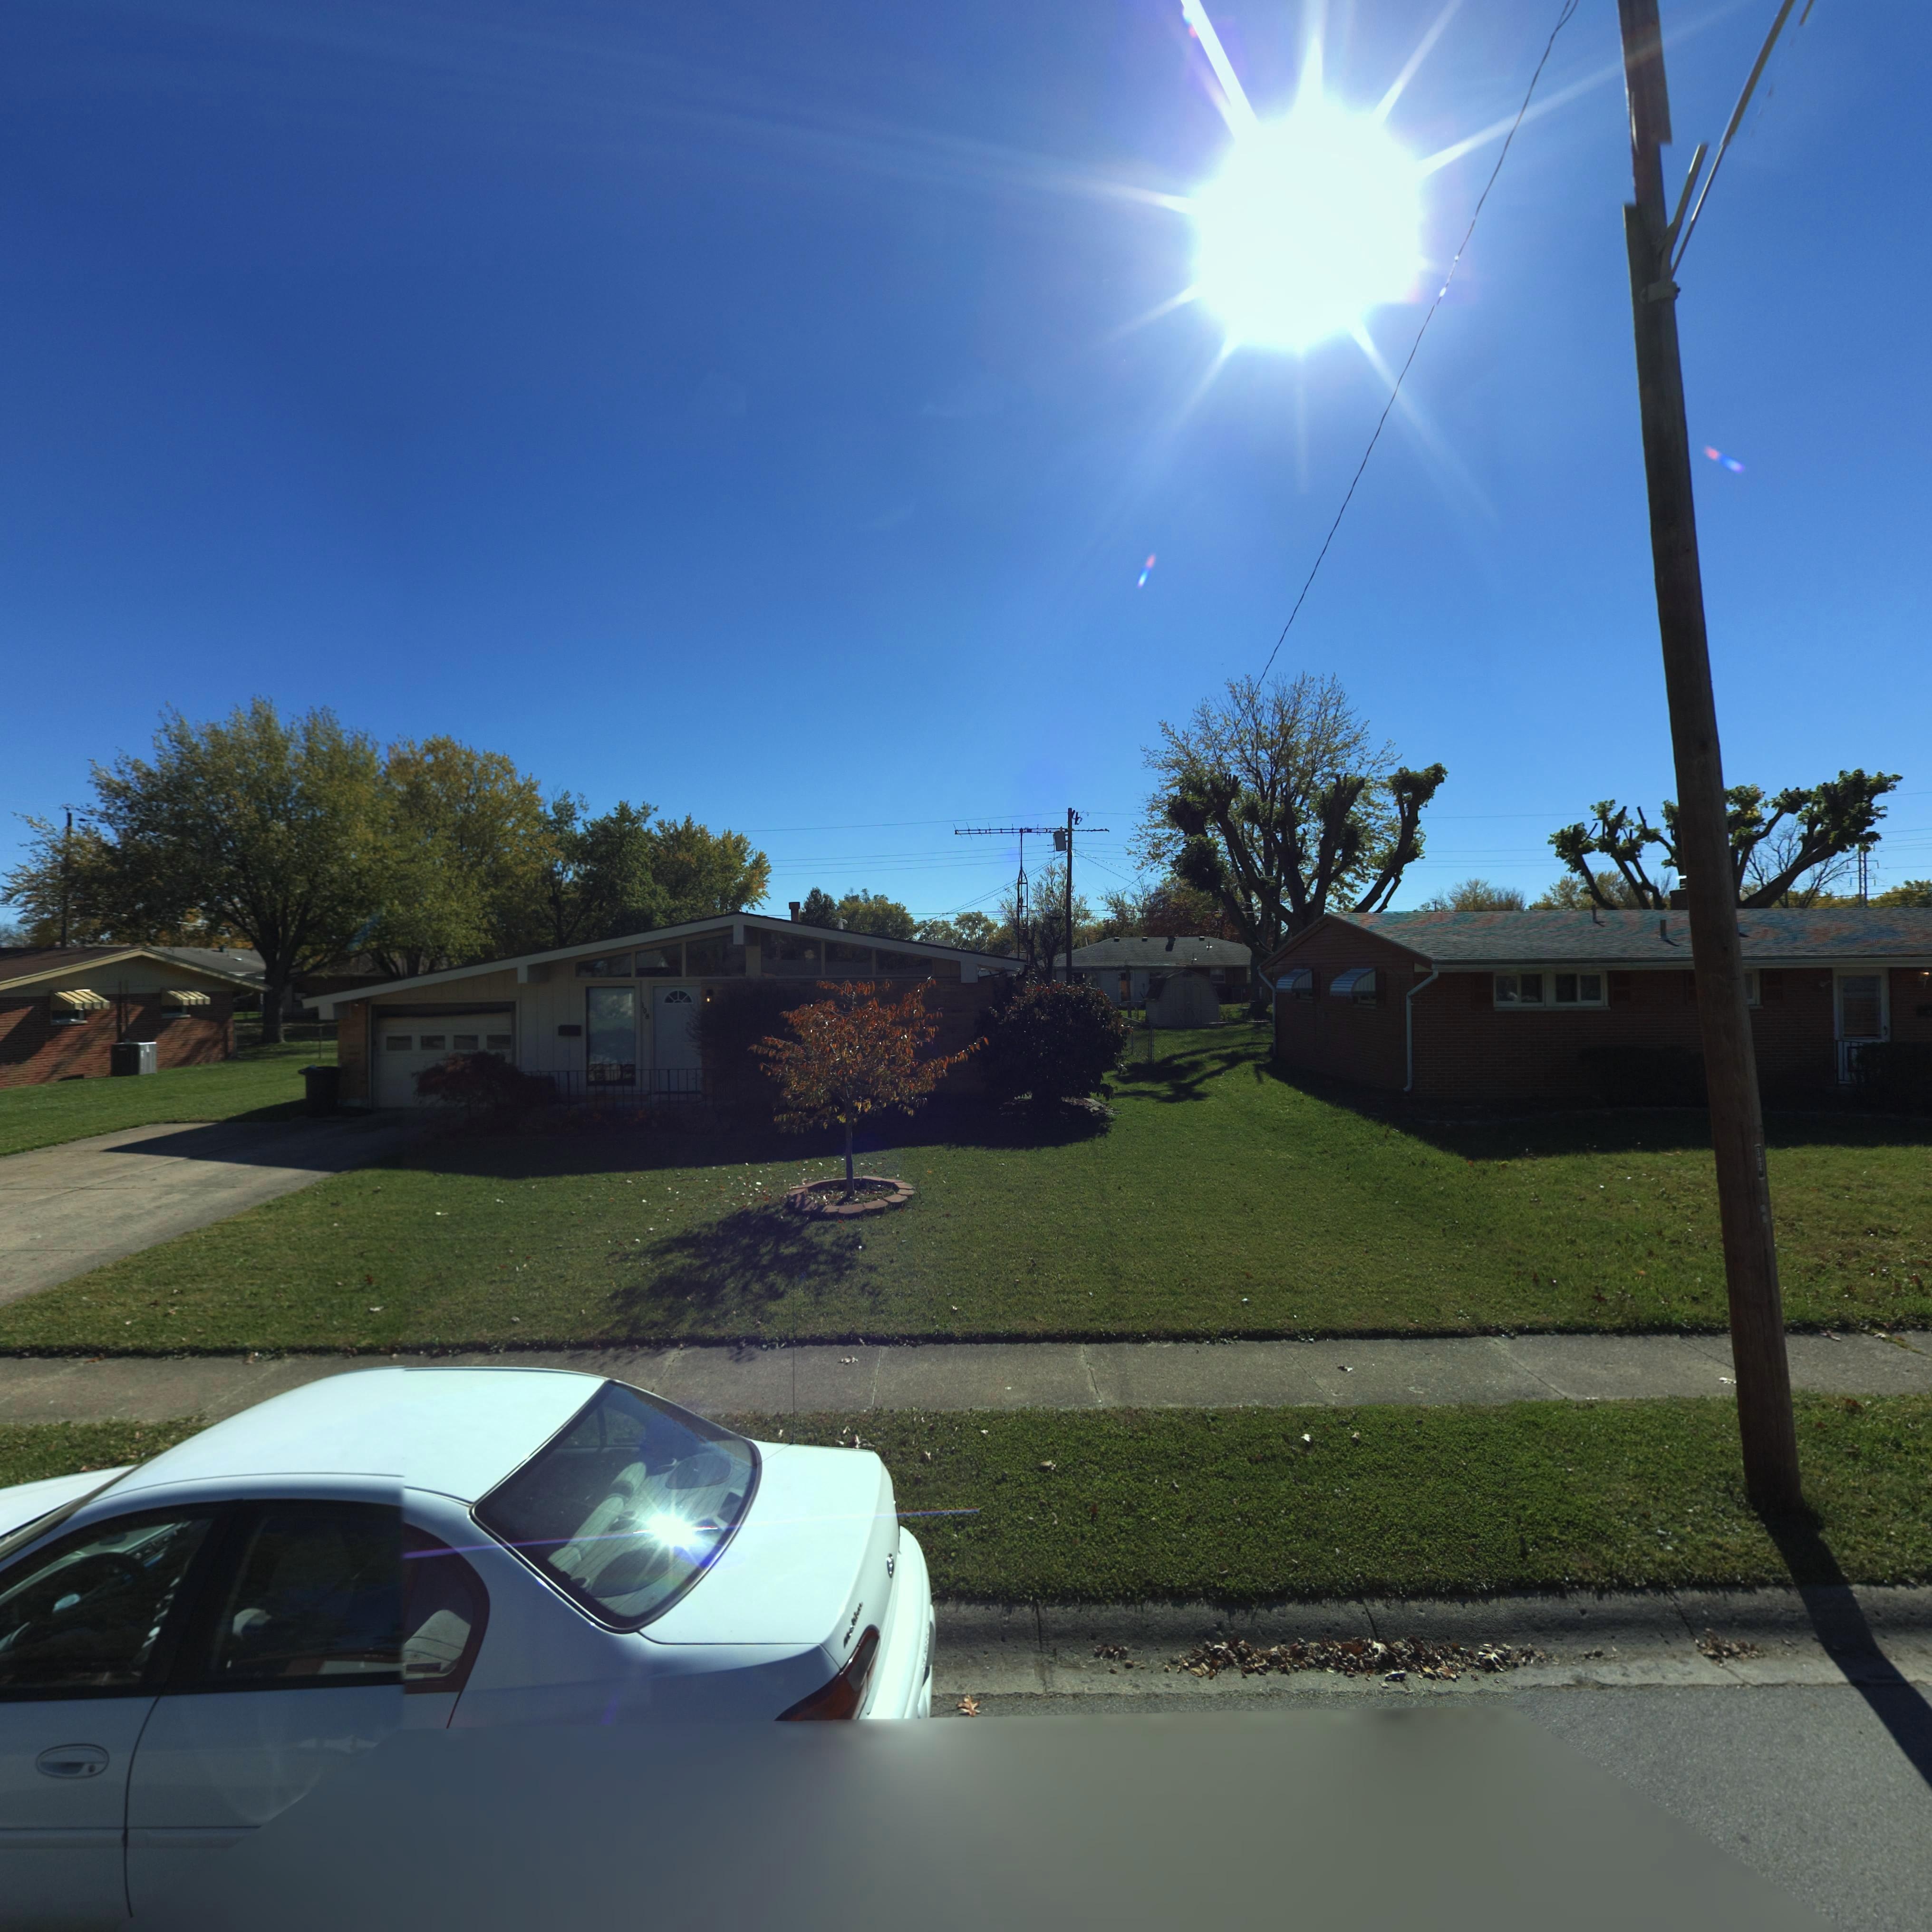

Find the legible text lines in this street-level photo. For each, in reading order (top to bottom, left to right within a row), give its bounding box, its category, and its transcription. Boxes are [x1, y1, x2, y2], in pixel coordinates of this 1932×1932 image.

[640, 1002, 651, 1020] StreetNumber: 108